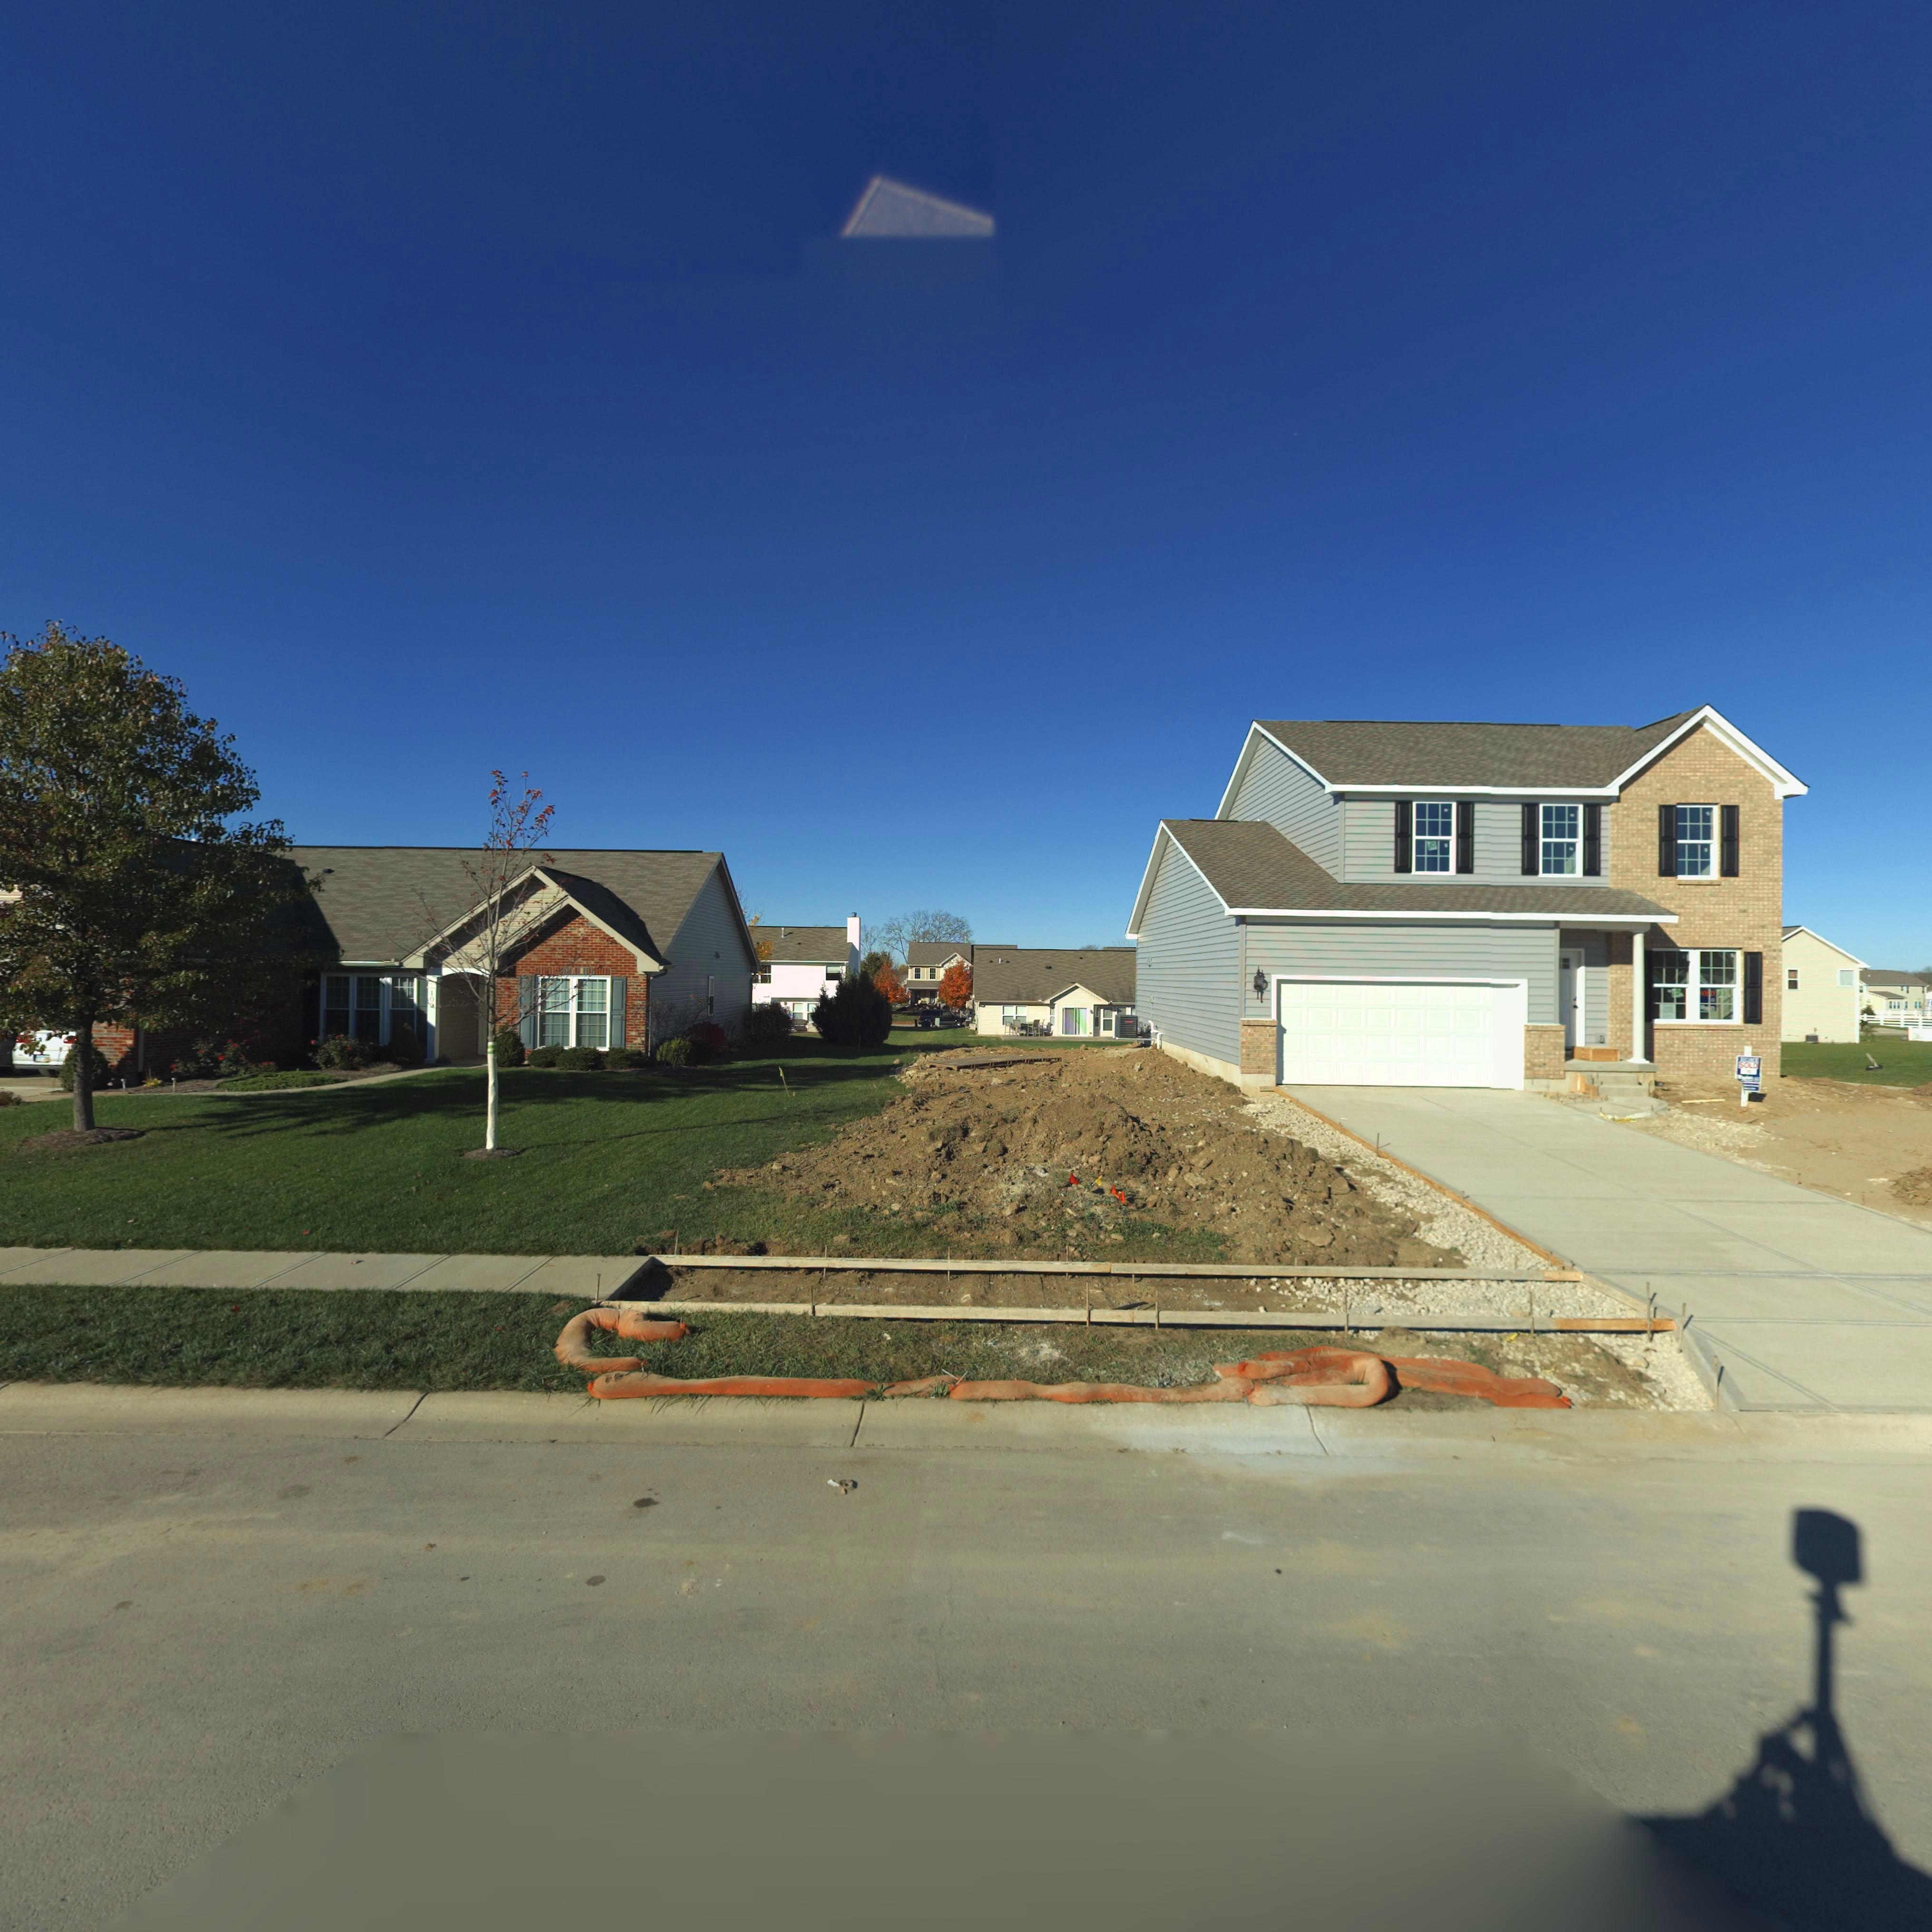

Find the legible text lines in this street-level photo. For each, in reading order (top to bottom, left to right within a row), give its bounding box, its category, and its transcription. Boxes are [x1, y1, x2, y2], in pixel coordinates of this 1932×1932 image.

[428, 989, 434, 1009] StreetNumber: 103
[1736, 1060, 1758, 1068] None: SOLD